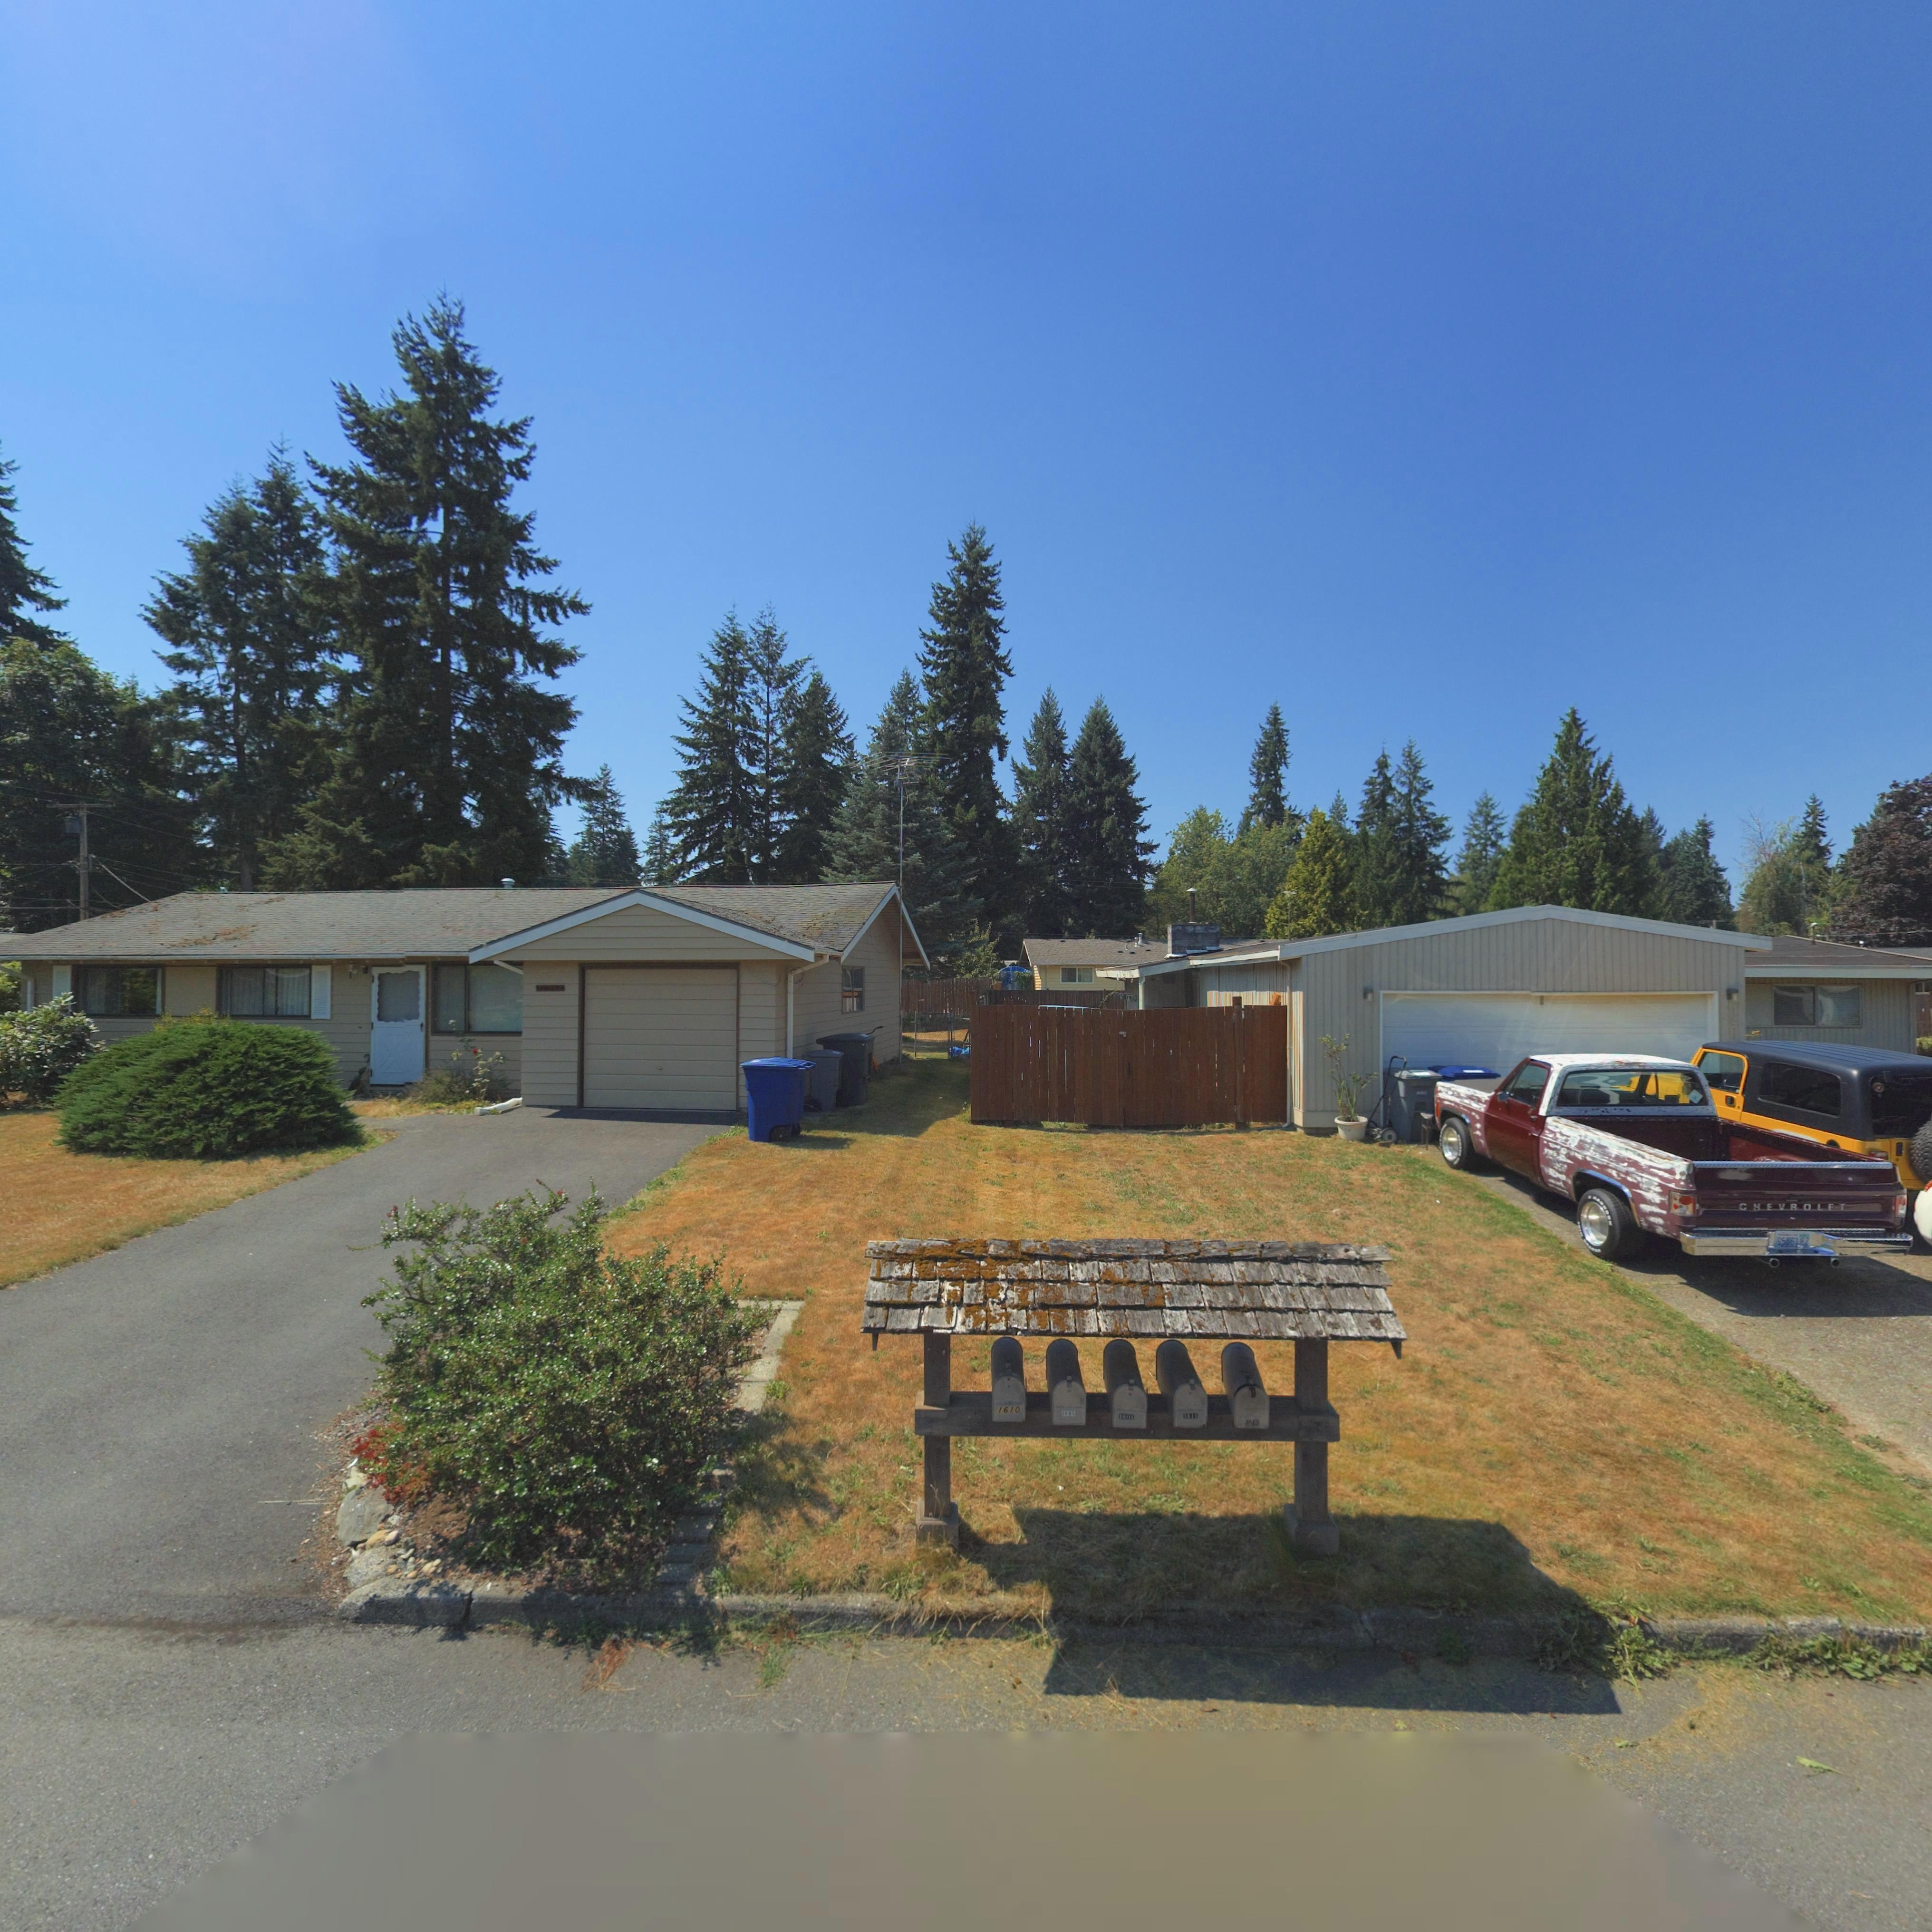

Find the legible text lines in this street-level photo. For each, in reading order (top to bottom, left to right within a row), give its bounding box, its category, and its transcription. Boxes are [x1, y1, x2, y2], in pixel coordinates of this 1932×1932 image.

[537, 985, 560, 990] StreetNumber: *005
[998, 1405, 1020, 1415] StreetNumber: 1610
[1062, 1410, 1075, 1415] StreetNumber: 1605
[1244, 1419, 1260, 1426] StreetNumber: 1813